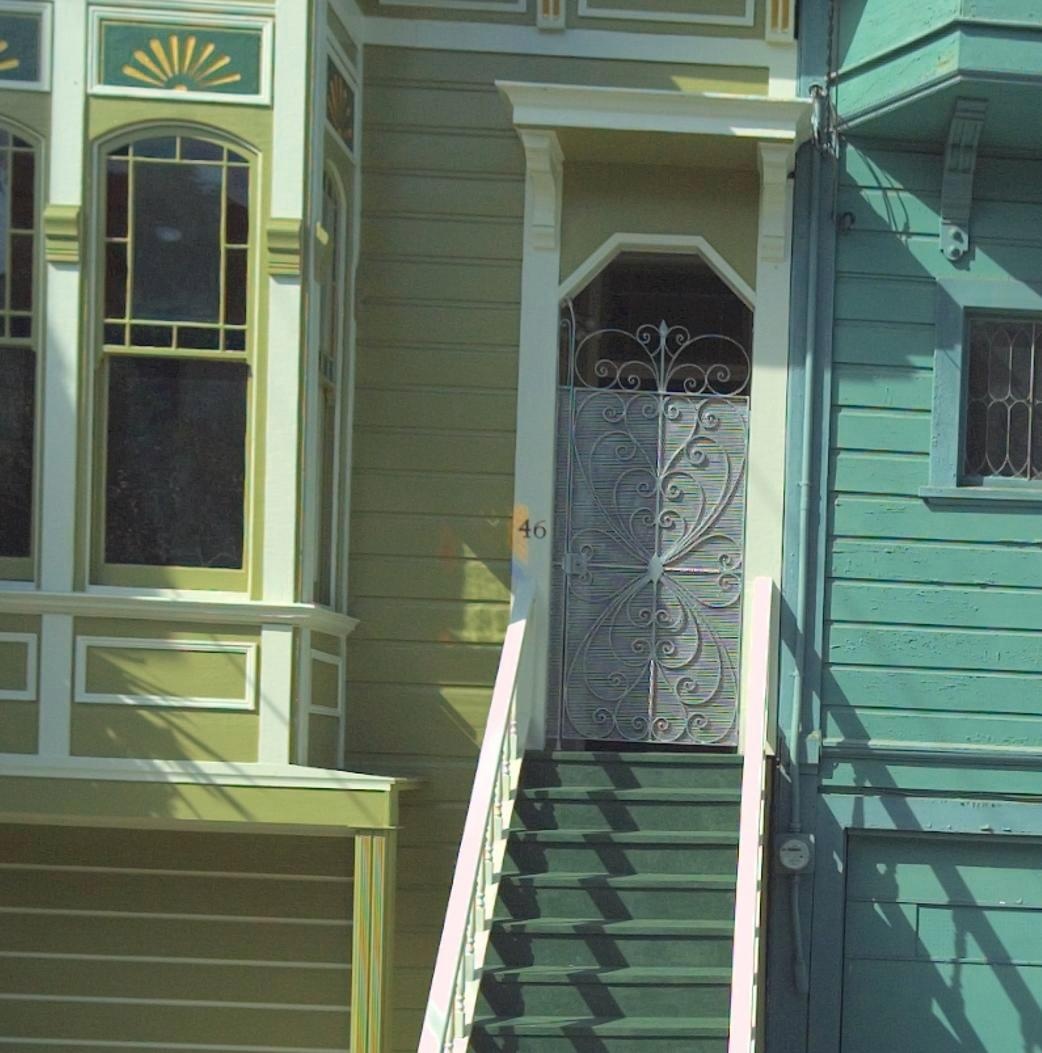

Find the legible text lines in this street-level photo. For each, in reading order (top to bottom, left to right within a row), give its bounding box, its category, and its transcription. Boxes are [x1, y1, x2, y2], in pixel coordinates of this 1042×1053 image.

[516, 518, 547, 540] StreetNumber: 46